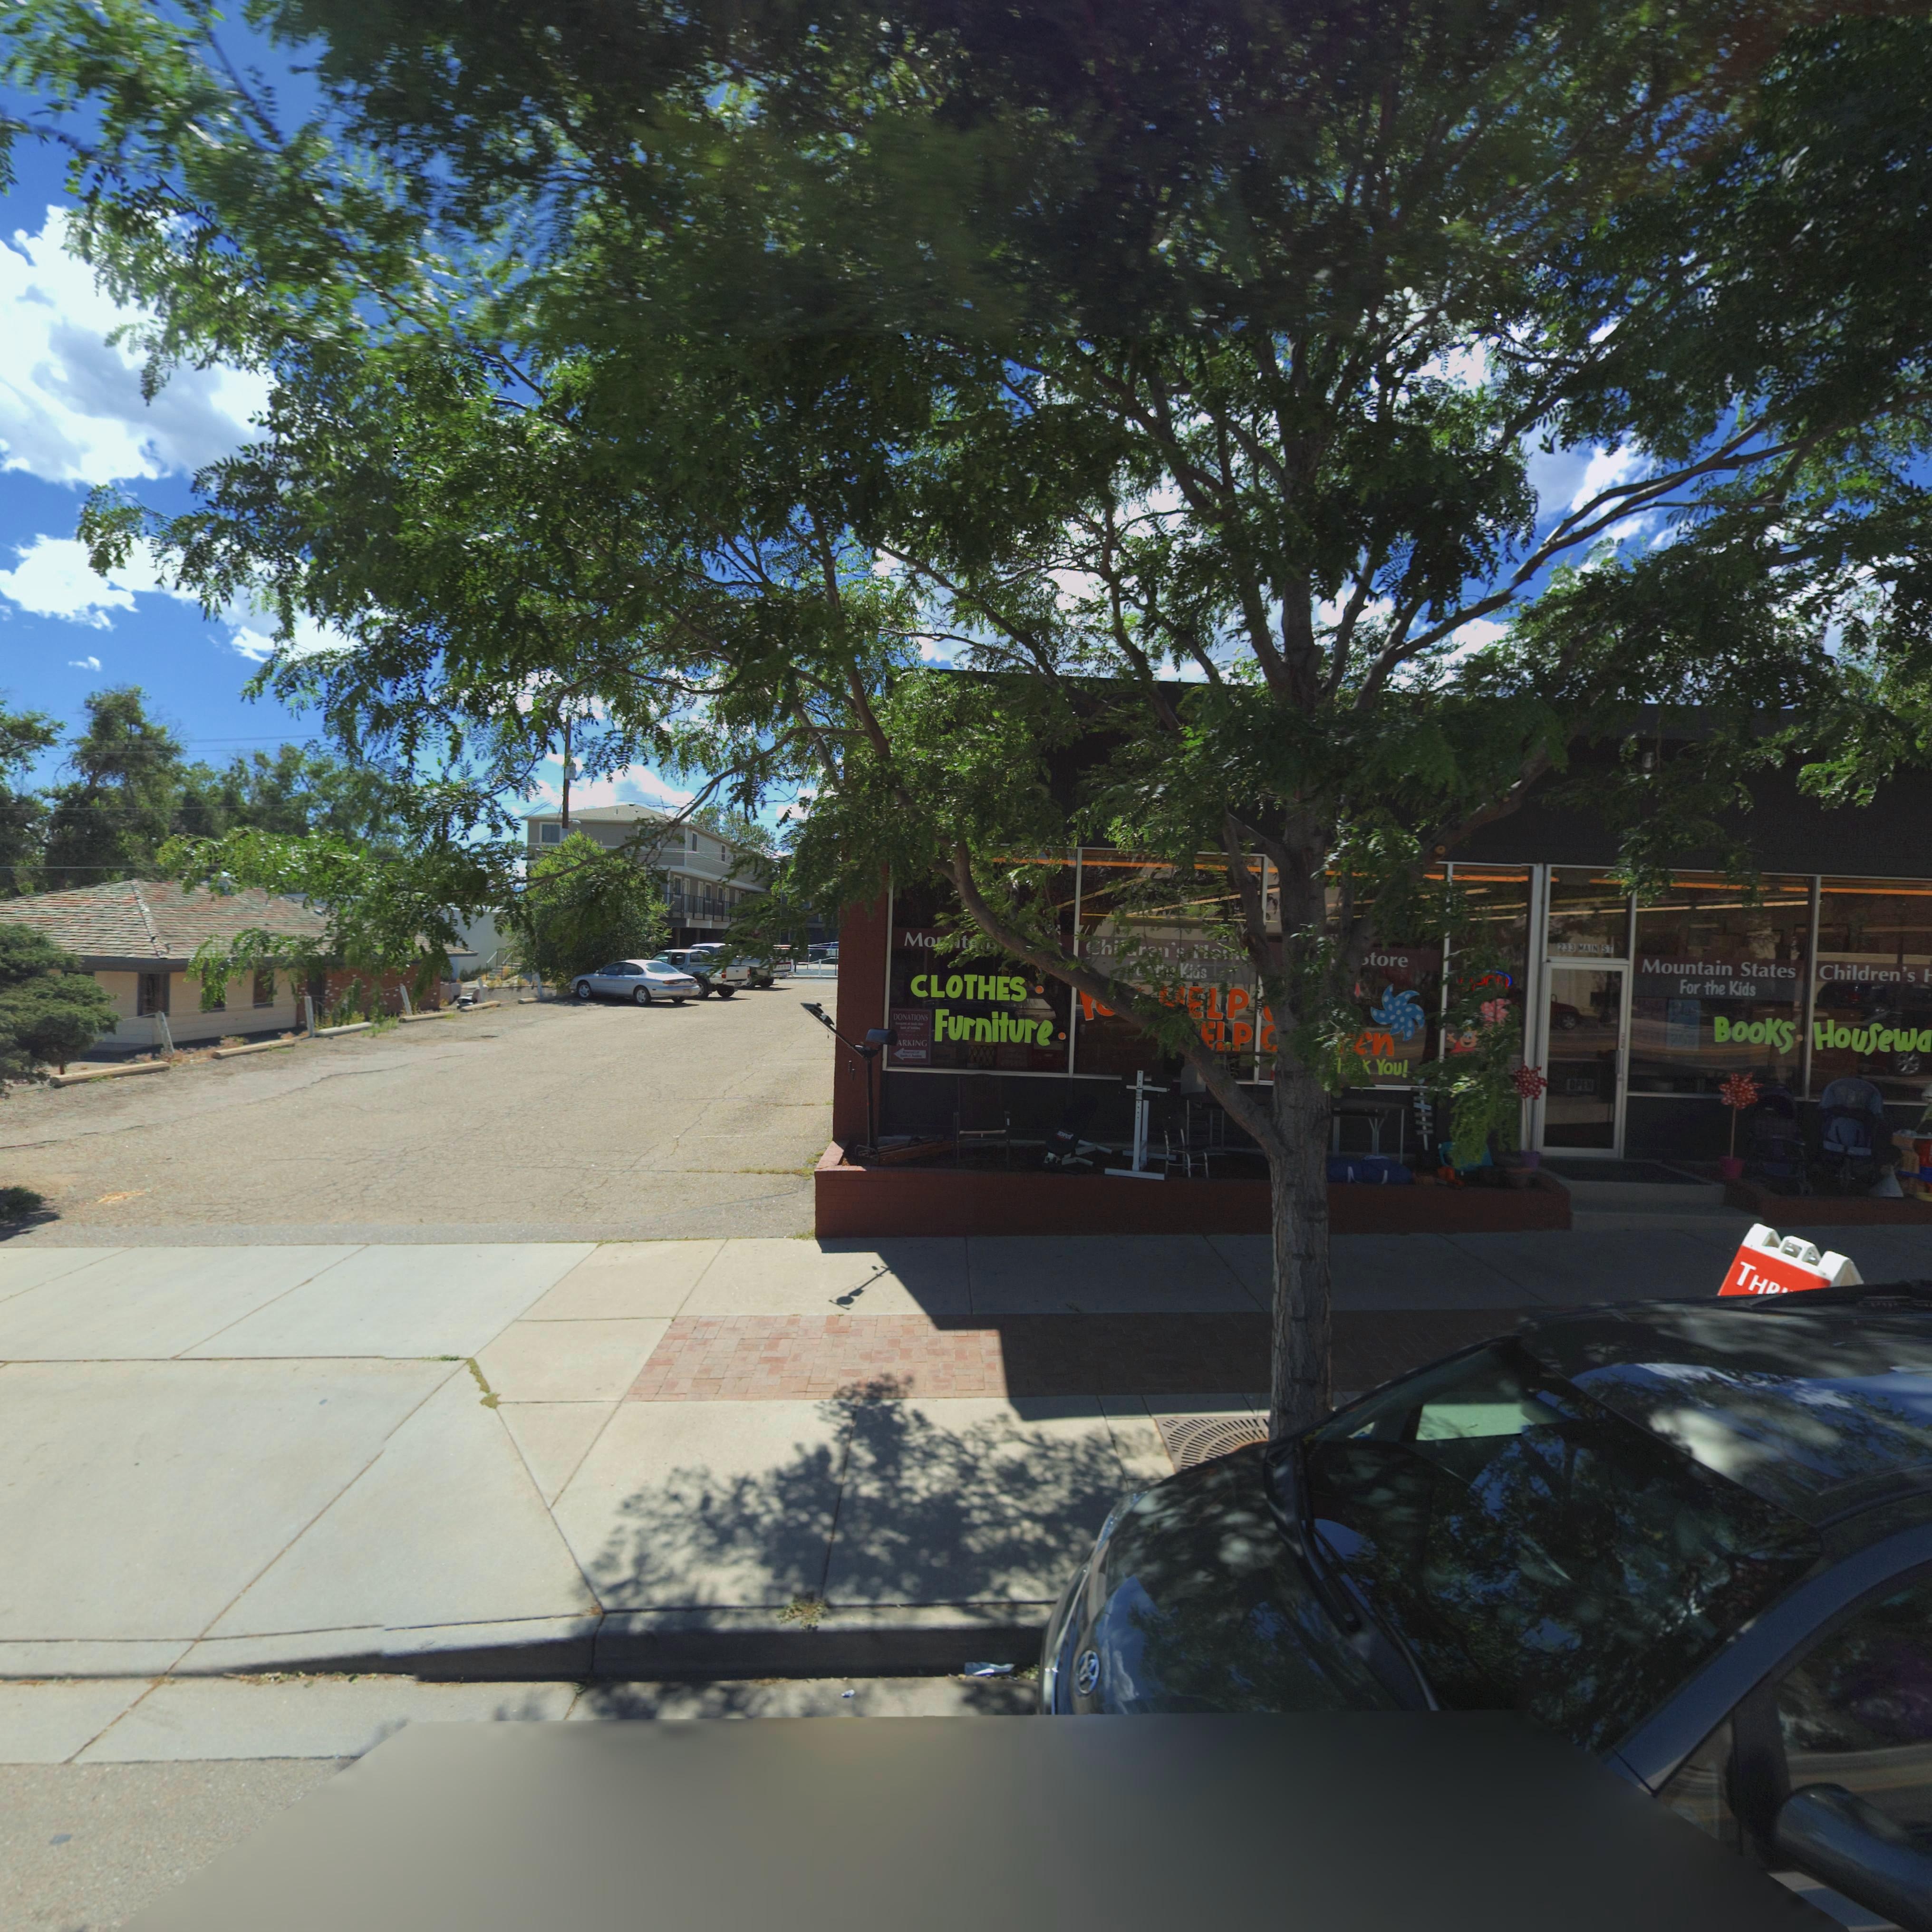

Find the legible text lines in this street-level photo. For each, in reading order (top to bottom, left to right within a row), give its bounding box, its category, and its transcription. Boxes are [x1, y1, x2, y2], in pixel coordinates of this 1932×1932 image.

[903, 931, 1409, 968] BusinessName: Mo**t*** ****** Chi**ren's H*m* ****** *tore
[1559, 943, 1576, 951] StreetNumber: 233
[1577, 944, 1613, 953] StreetName: MAIN ST
[1641, 957, 1915, 982] BusinessName: Mountain States Children's